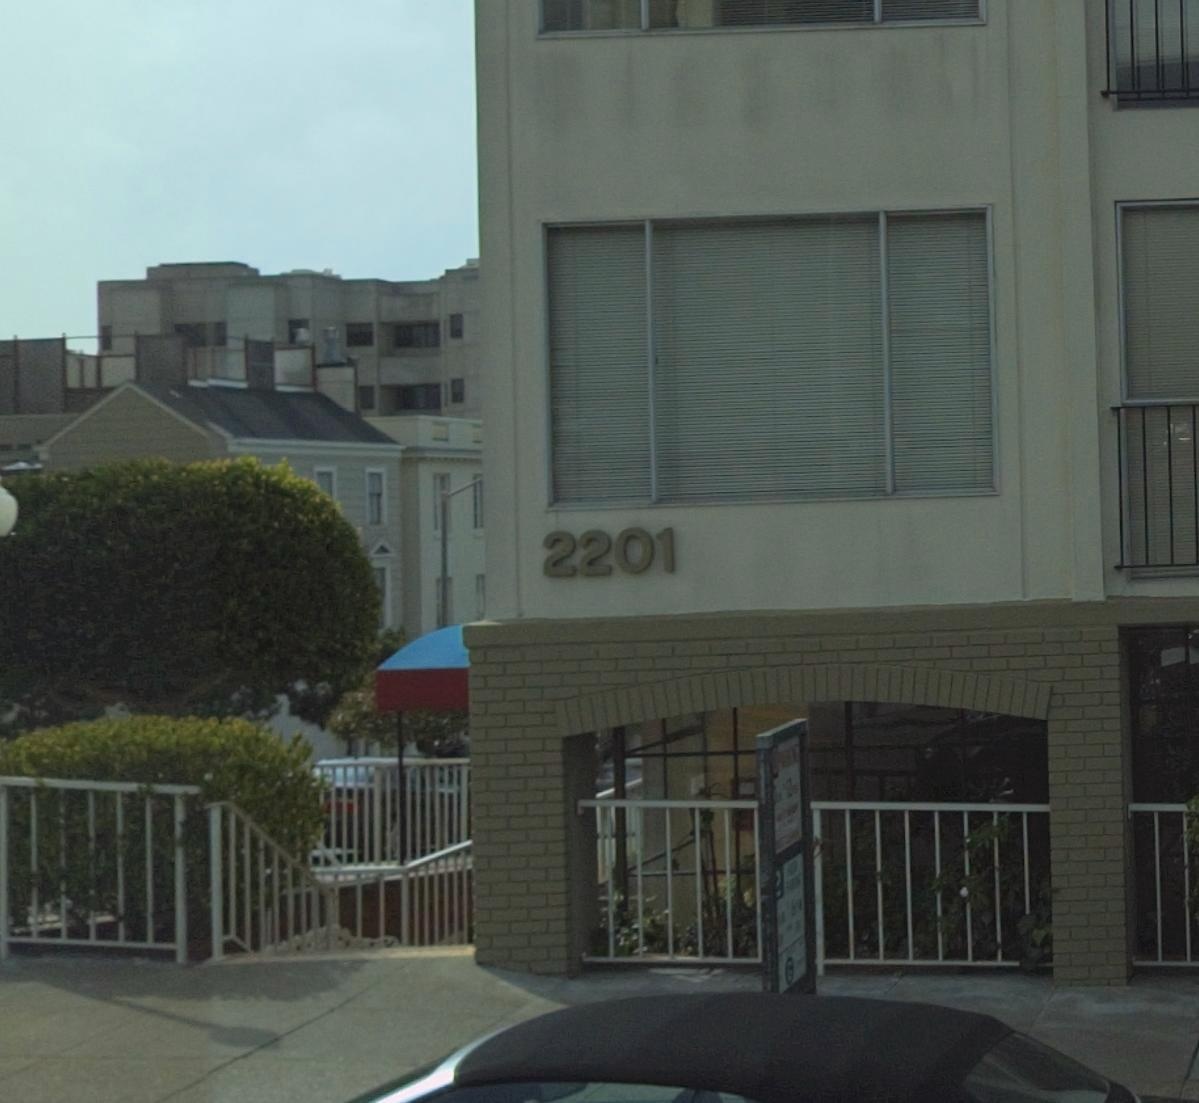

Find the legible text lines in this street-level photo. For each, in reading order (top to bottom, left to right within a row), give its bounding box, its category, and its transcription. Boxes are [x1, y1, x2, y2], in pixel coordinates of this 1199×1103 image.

[540, 523, 678, 580] StreetNumber: 2201